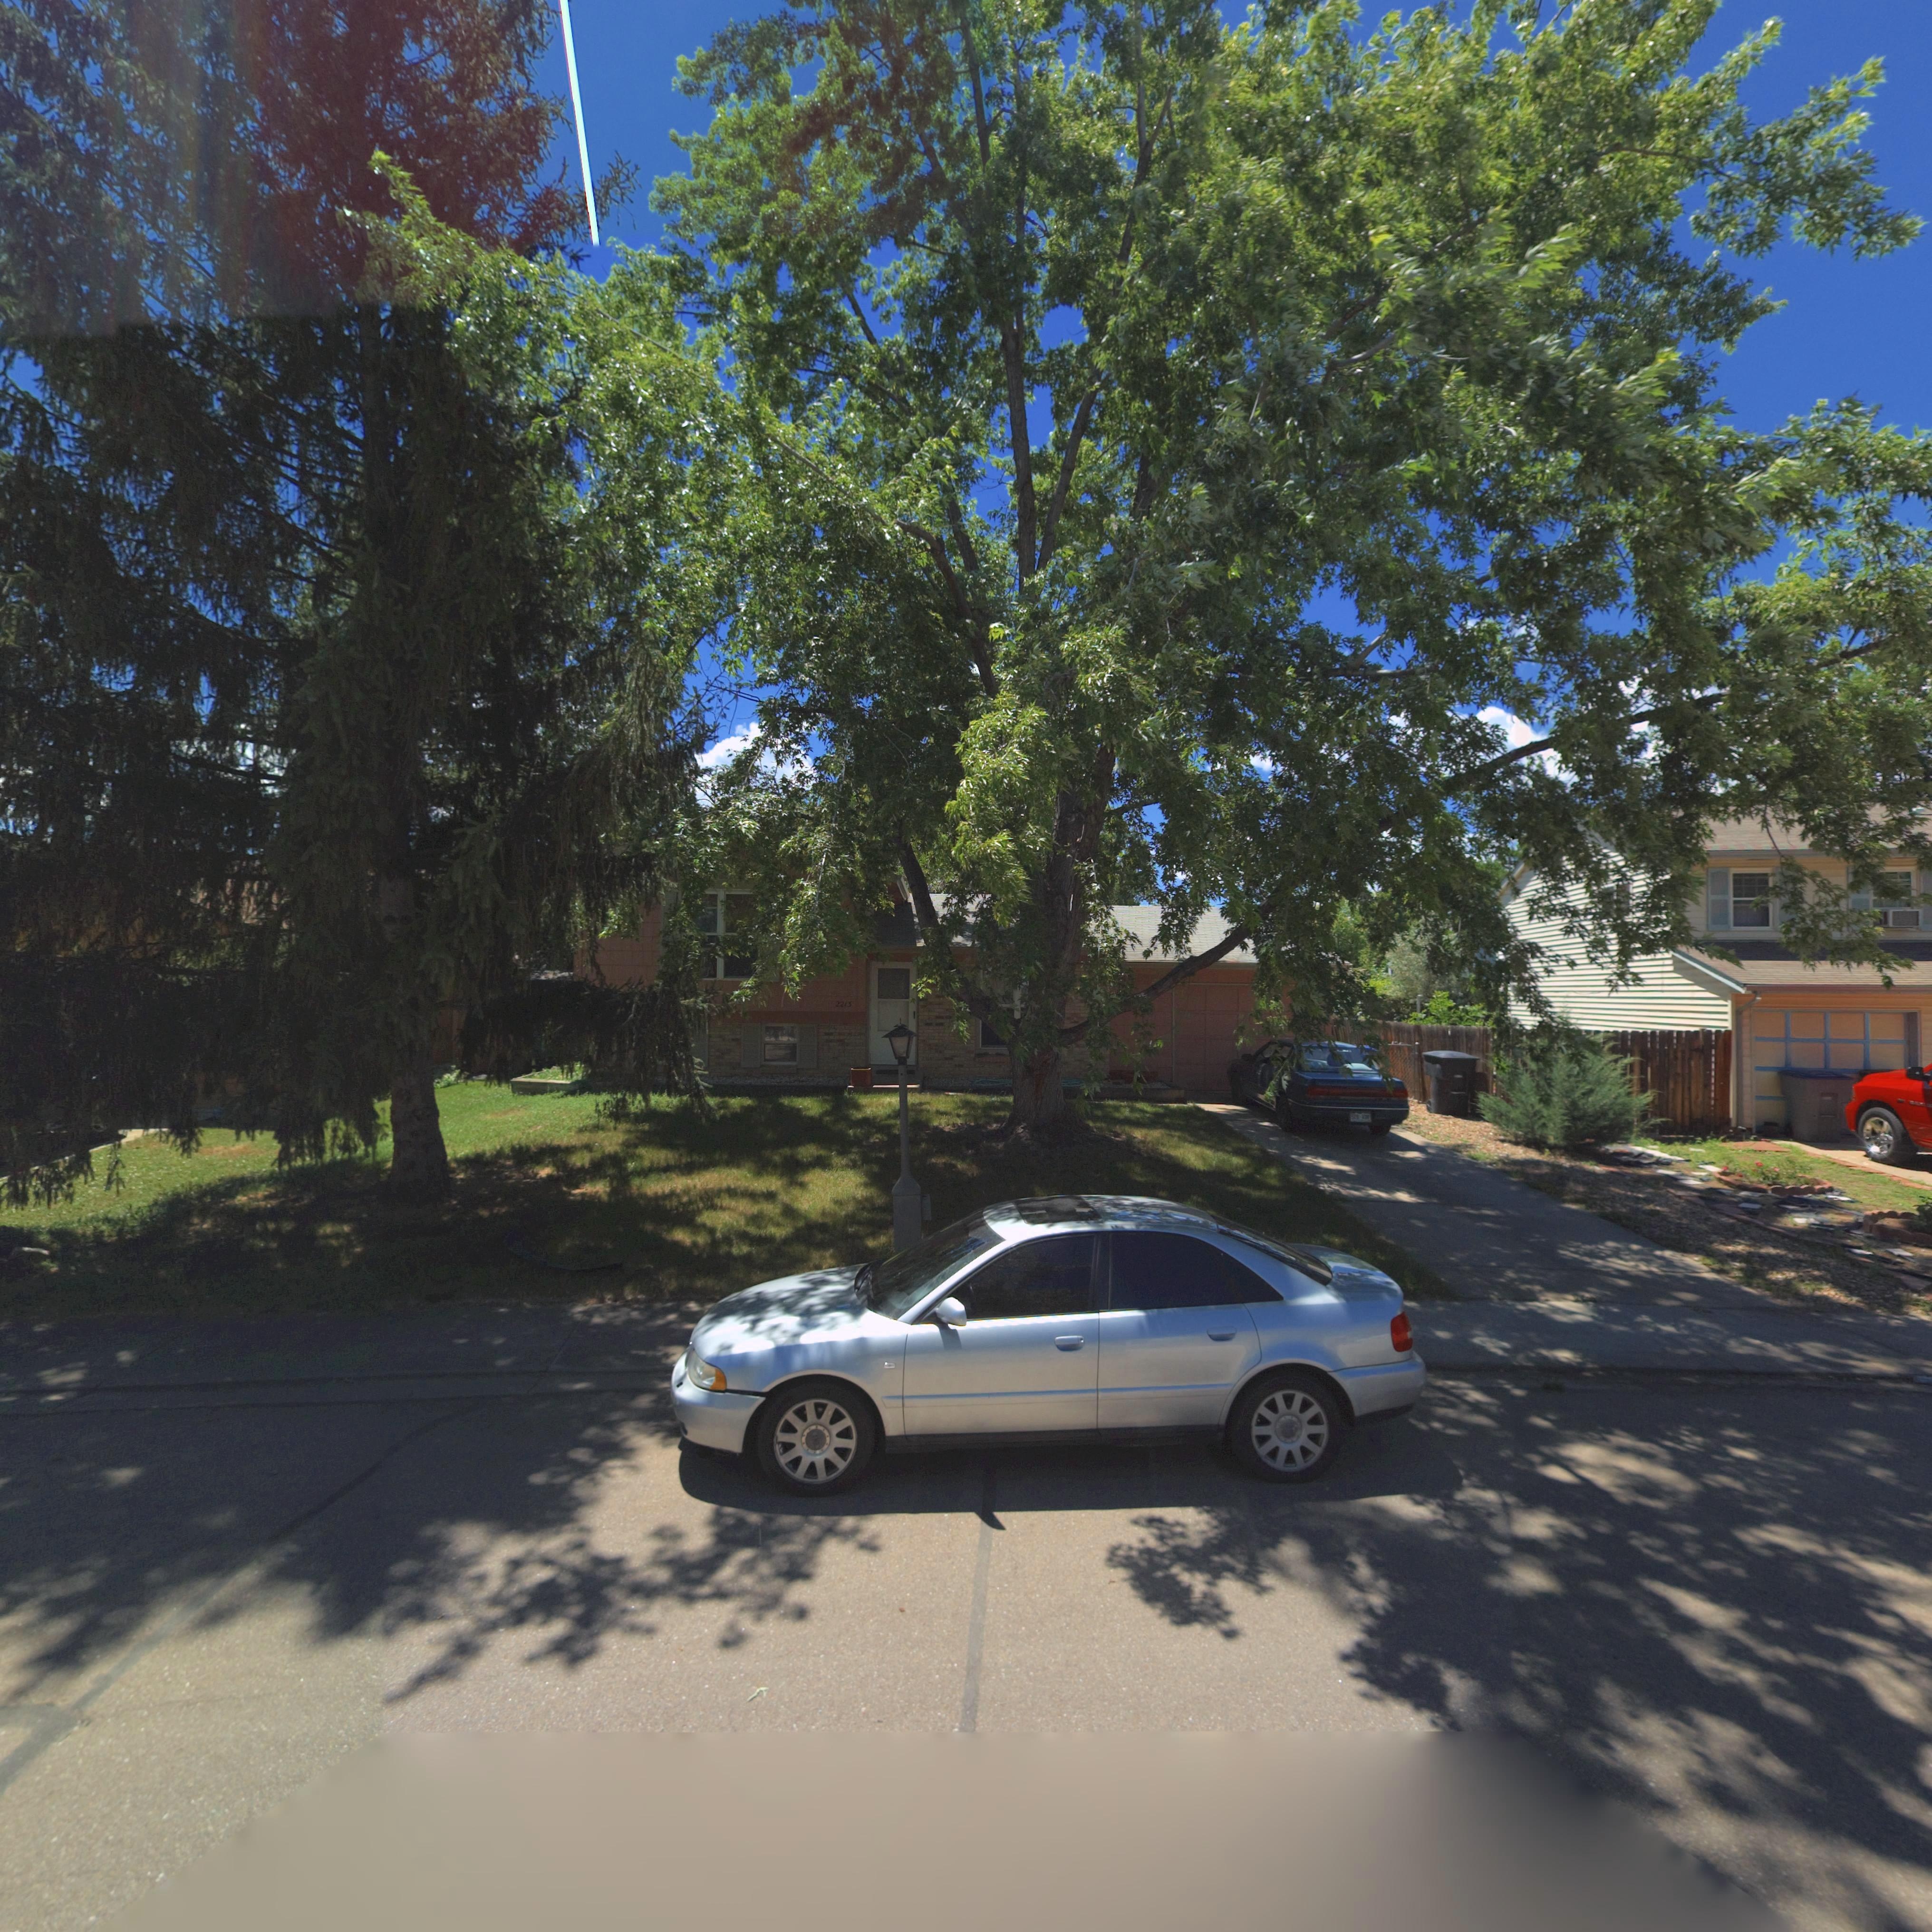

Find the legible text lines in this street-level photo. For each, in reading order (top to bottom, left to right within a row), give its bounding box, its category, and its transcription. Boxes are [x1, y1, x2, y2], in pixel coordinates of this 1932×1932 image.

[835, 1000, 852, 1008] StreetNumber: 2213